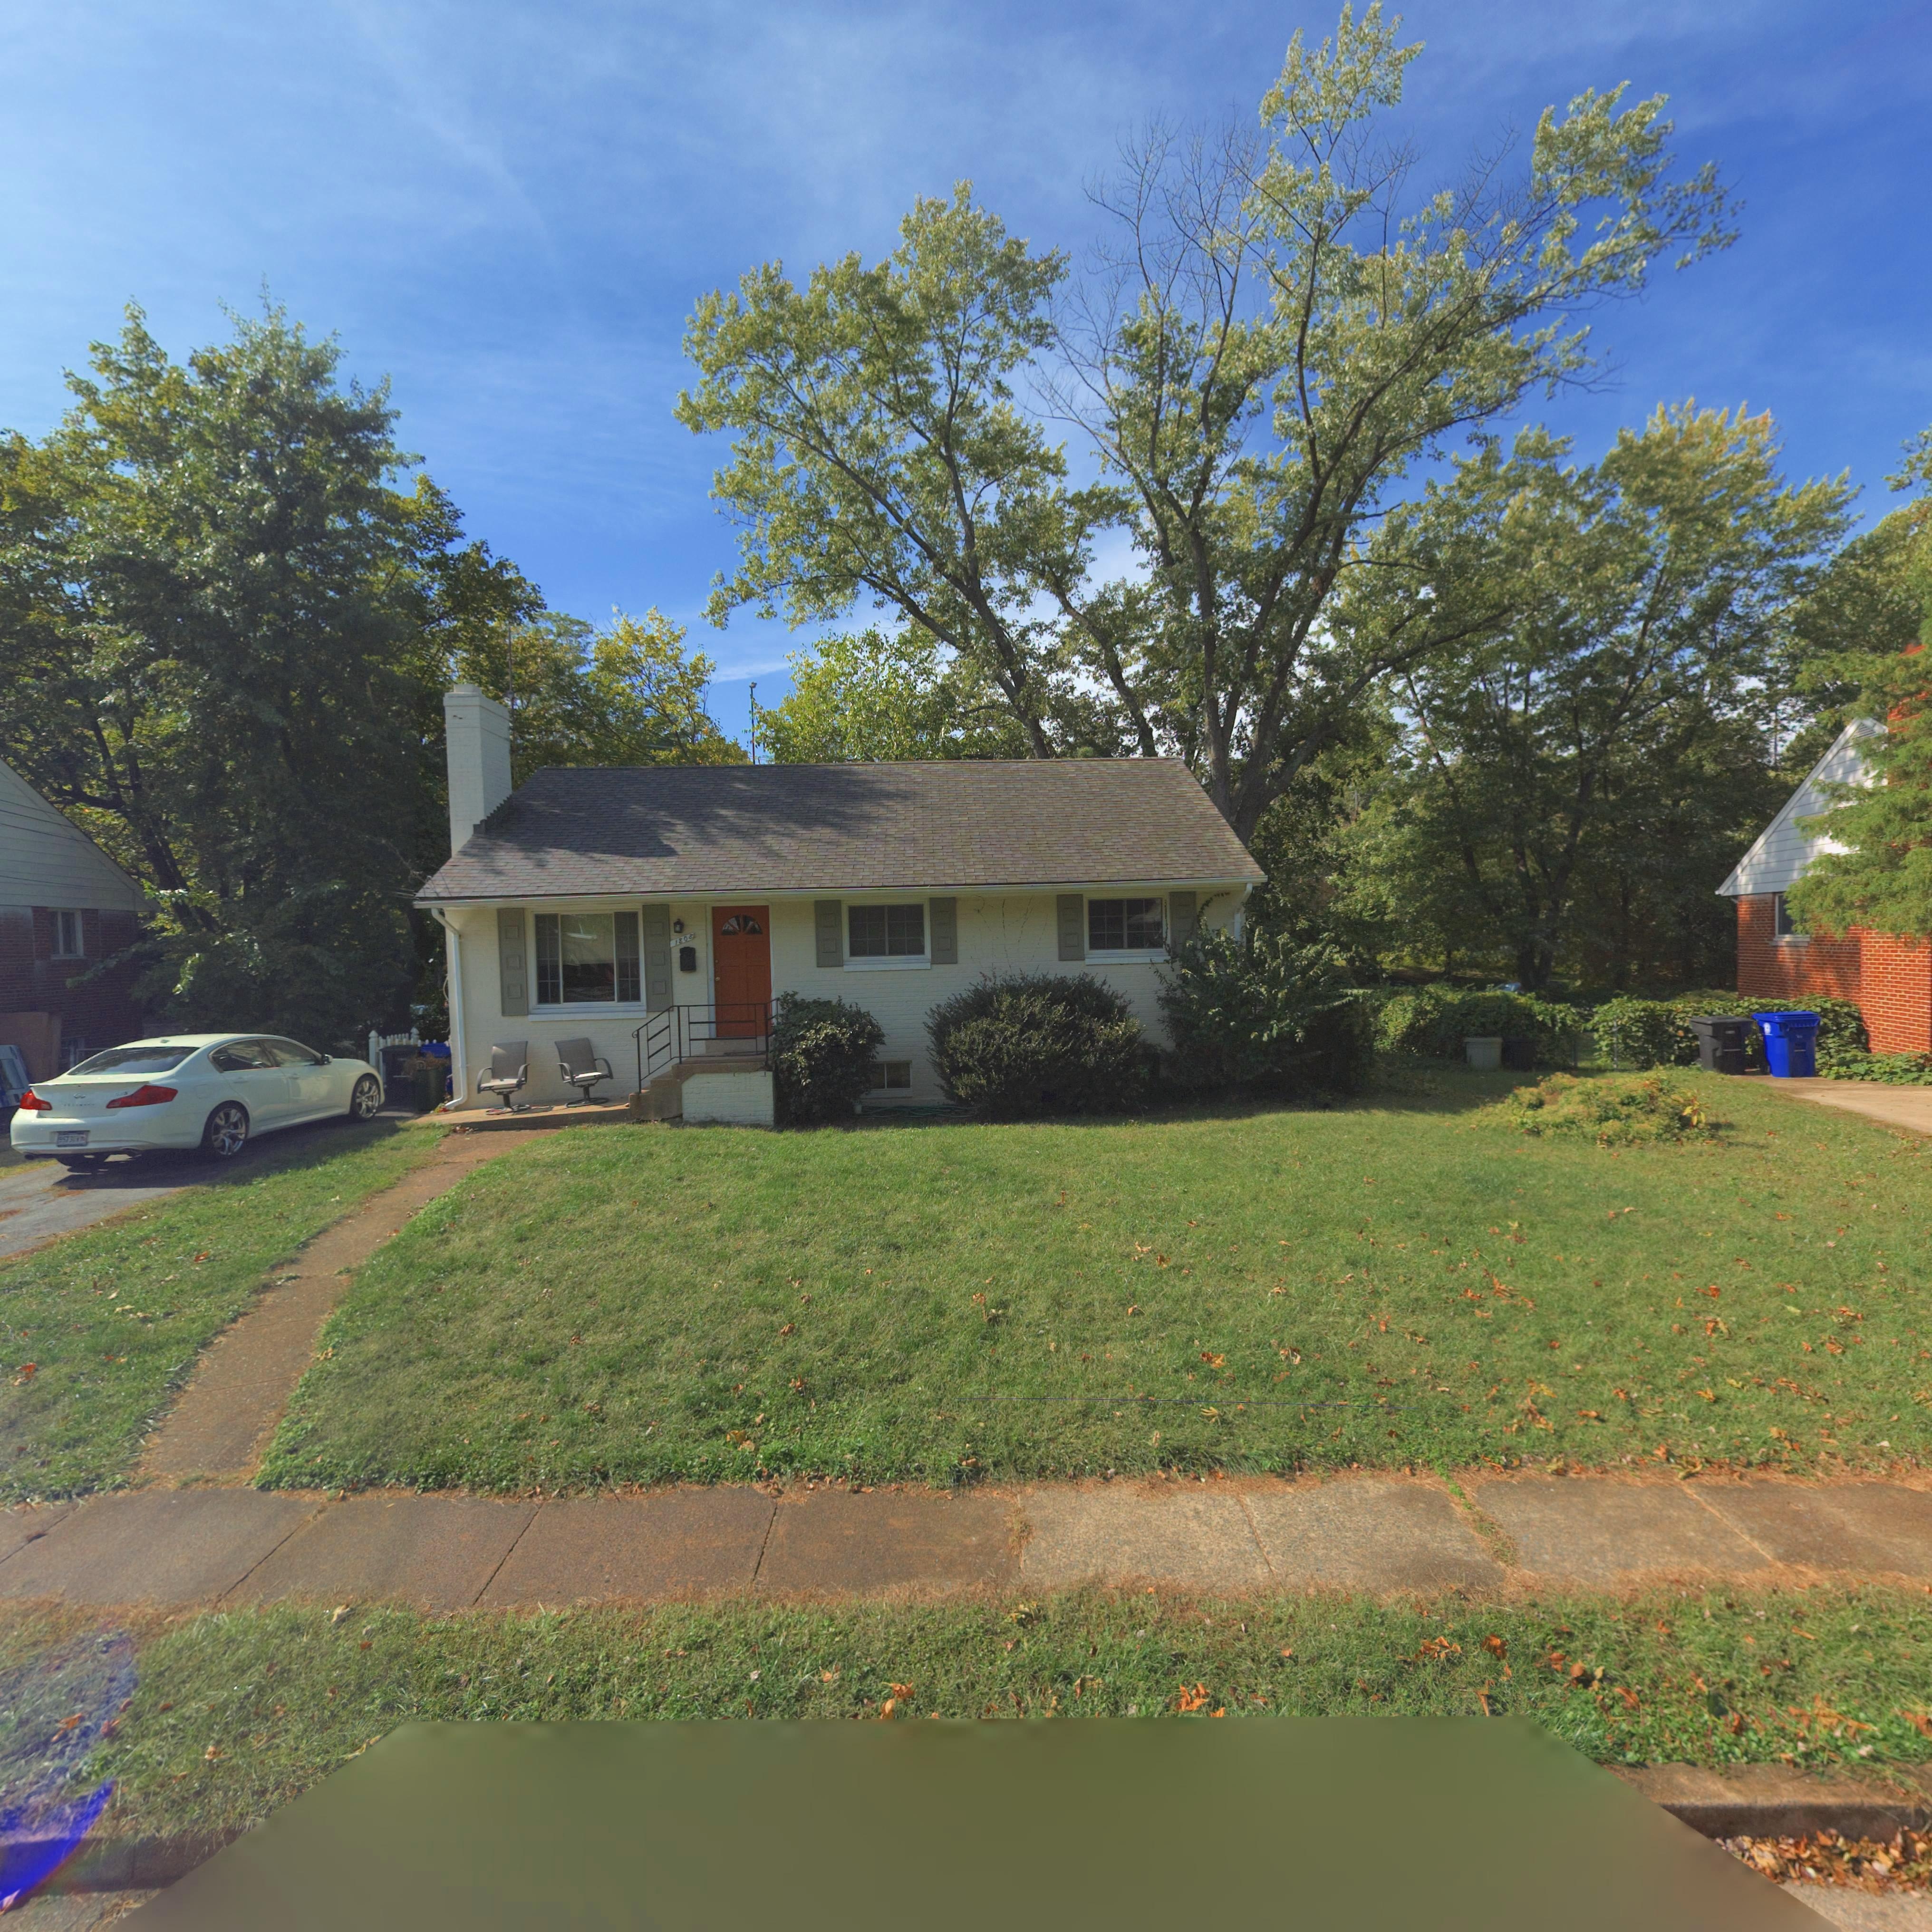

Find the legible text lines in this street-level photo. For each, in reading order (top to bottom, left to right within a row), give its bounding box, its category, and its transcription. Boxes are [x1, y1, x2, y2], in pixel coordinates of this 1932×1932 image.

[674, 932, 694, 947] StreetNumber: 1808